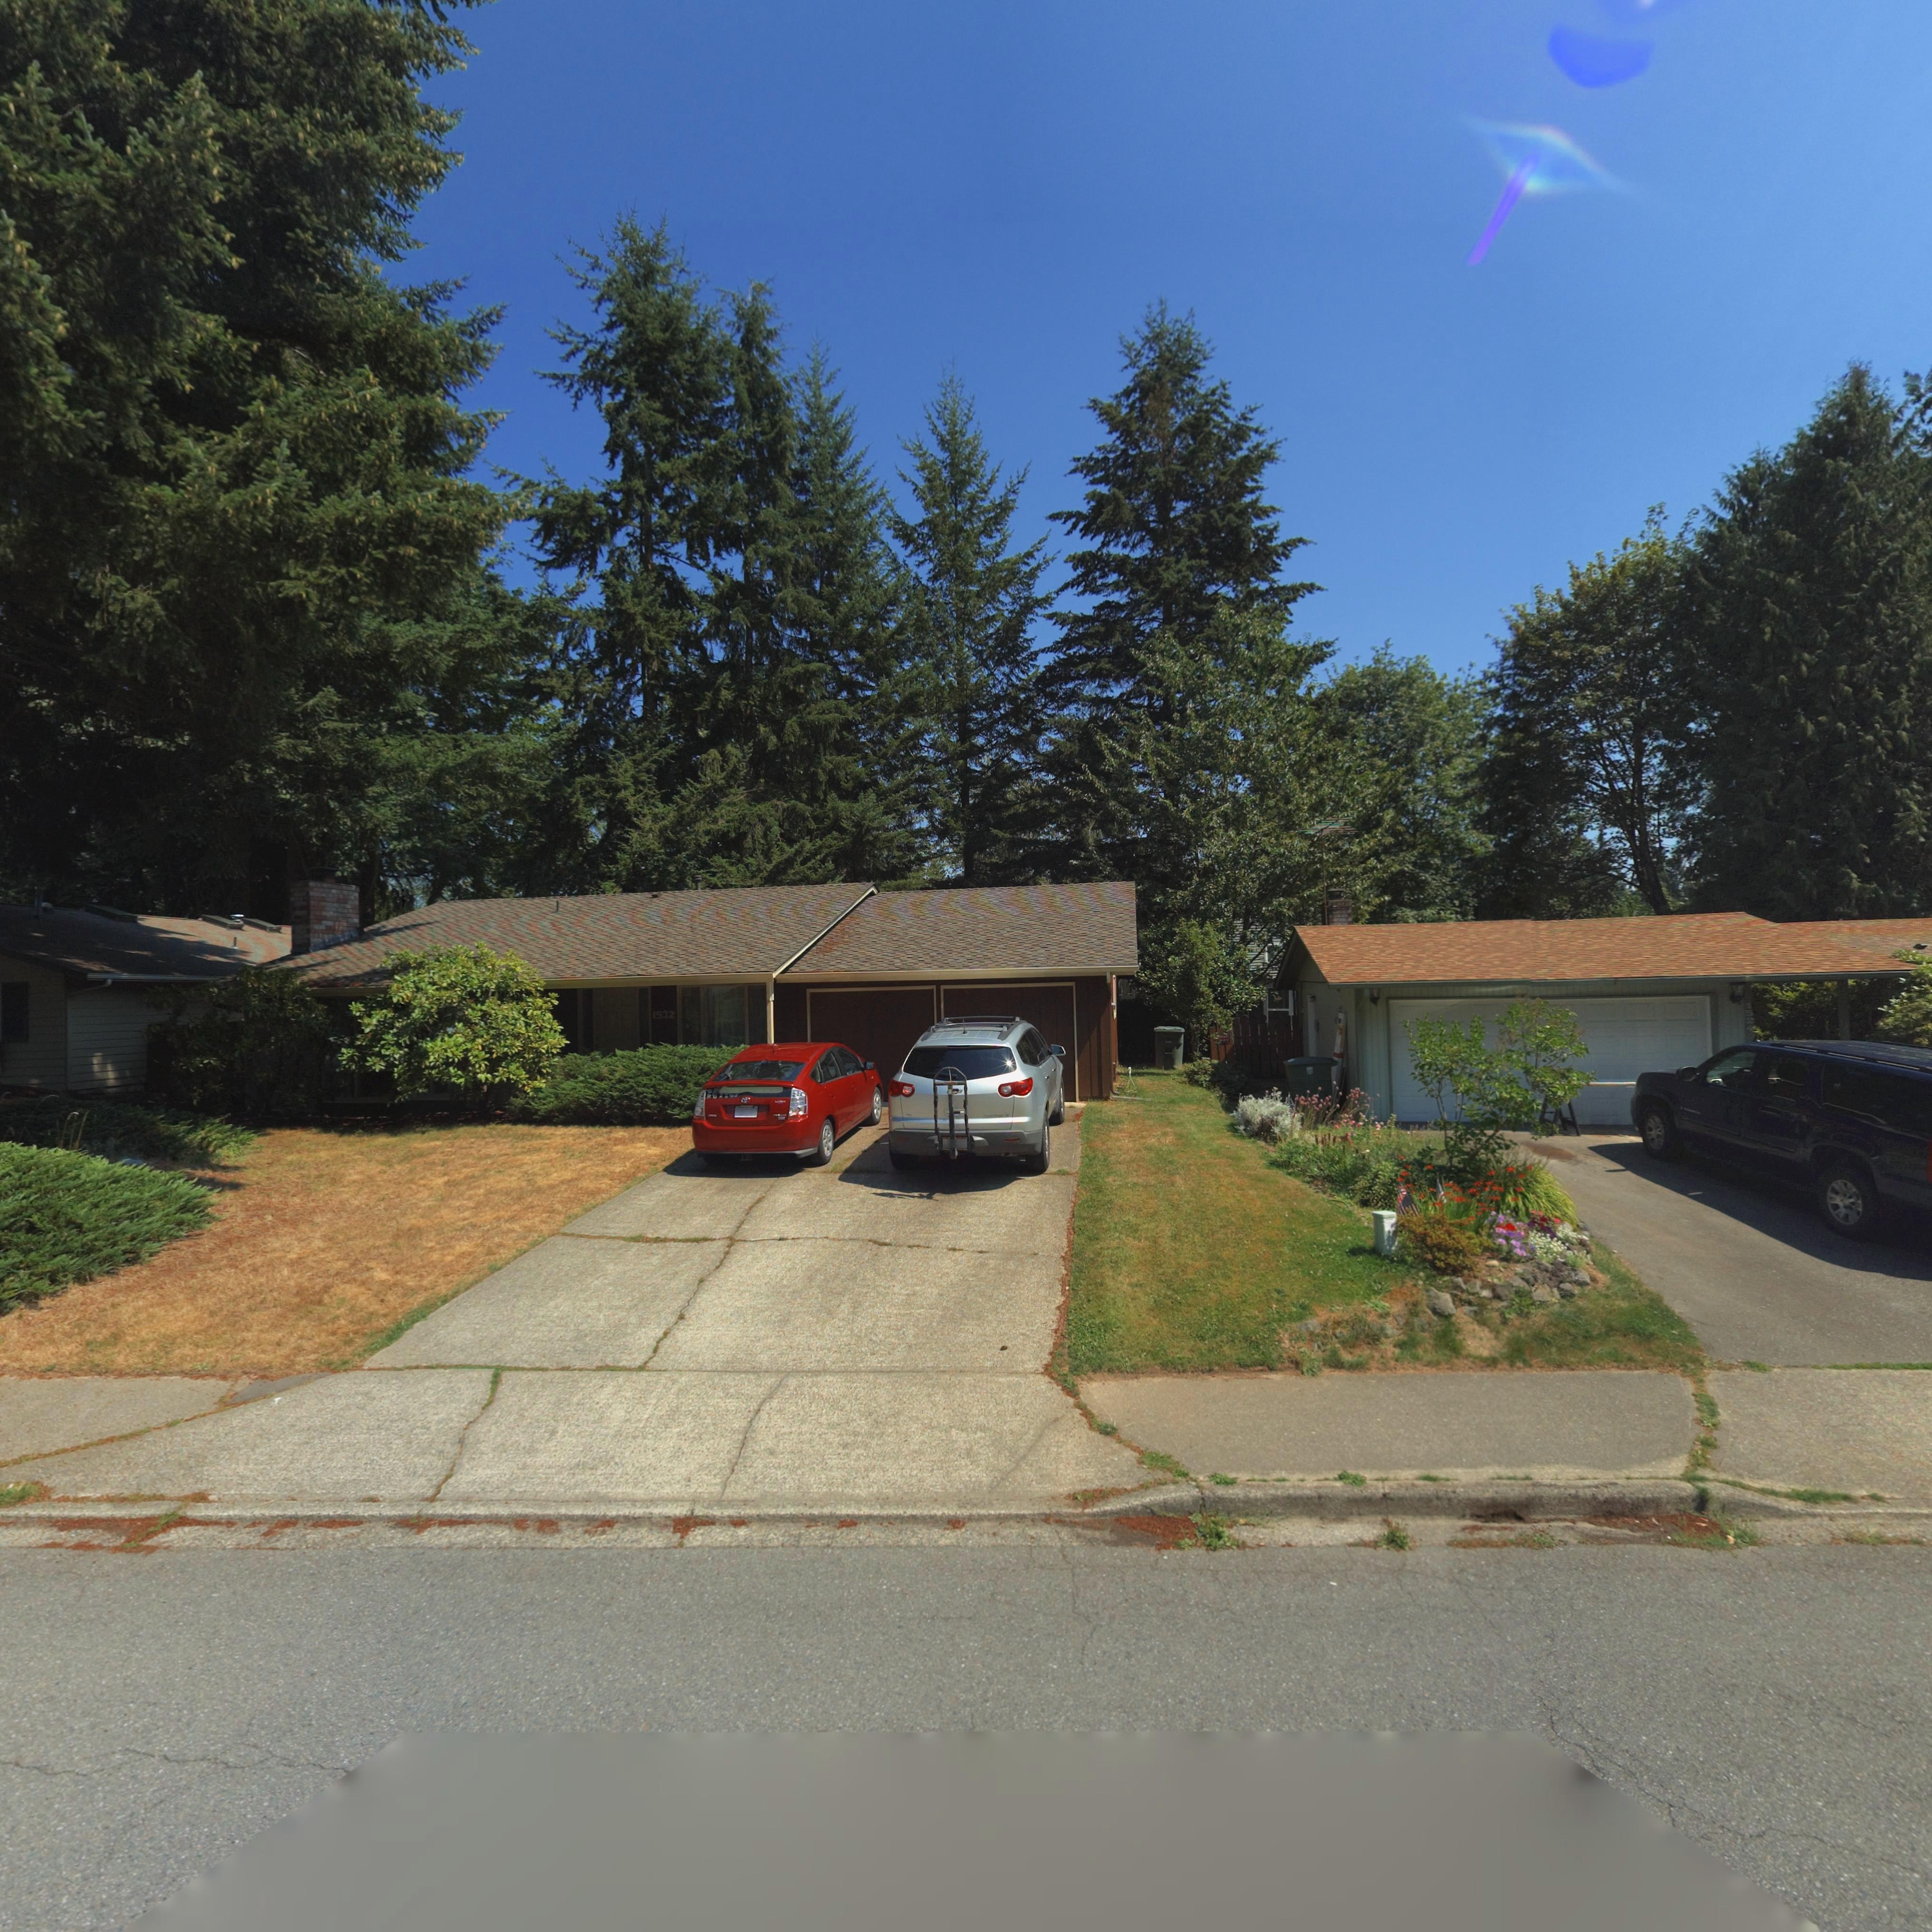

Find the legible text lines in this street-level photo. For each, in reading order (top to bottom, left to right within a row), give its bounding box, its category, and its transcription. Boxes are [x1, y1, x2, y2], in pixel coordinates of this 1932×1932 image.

[652, 1009, 675, 1021] StreetNumber: 1532
[1744, 1003, 1756, 1032] StreetNumber: 1524